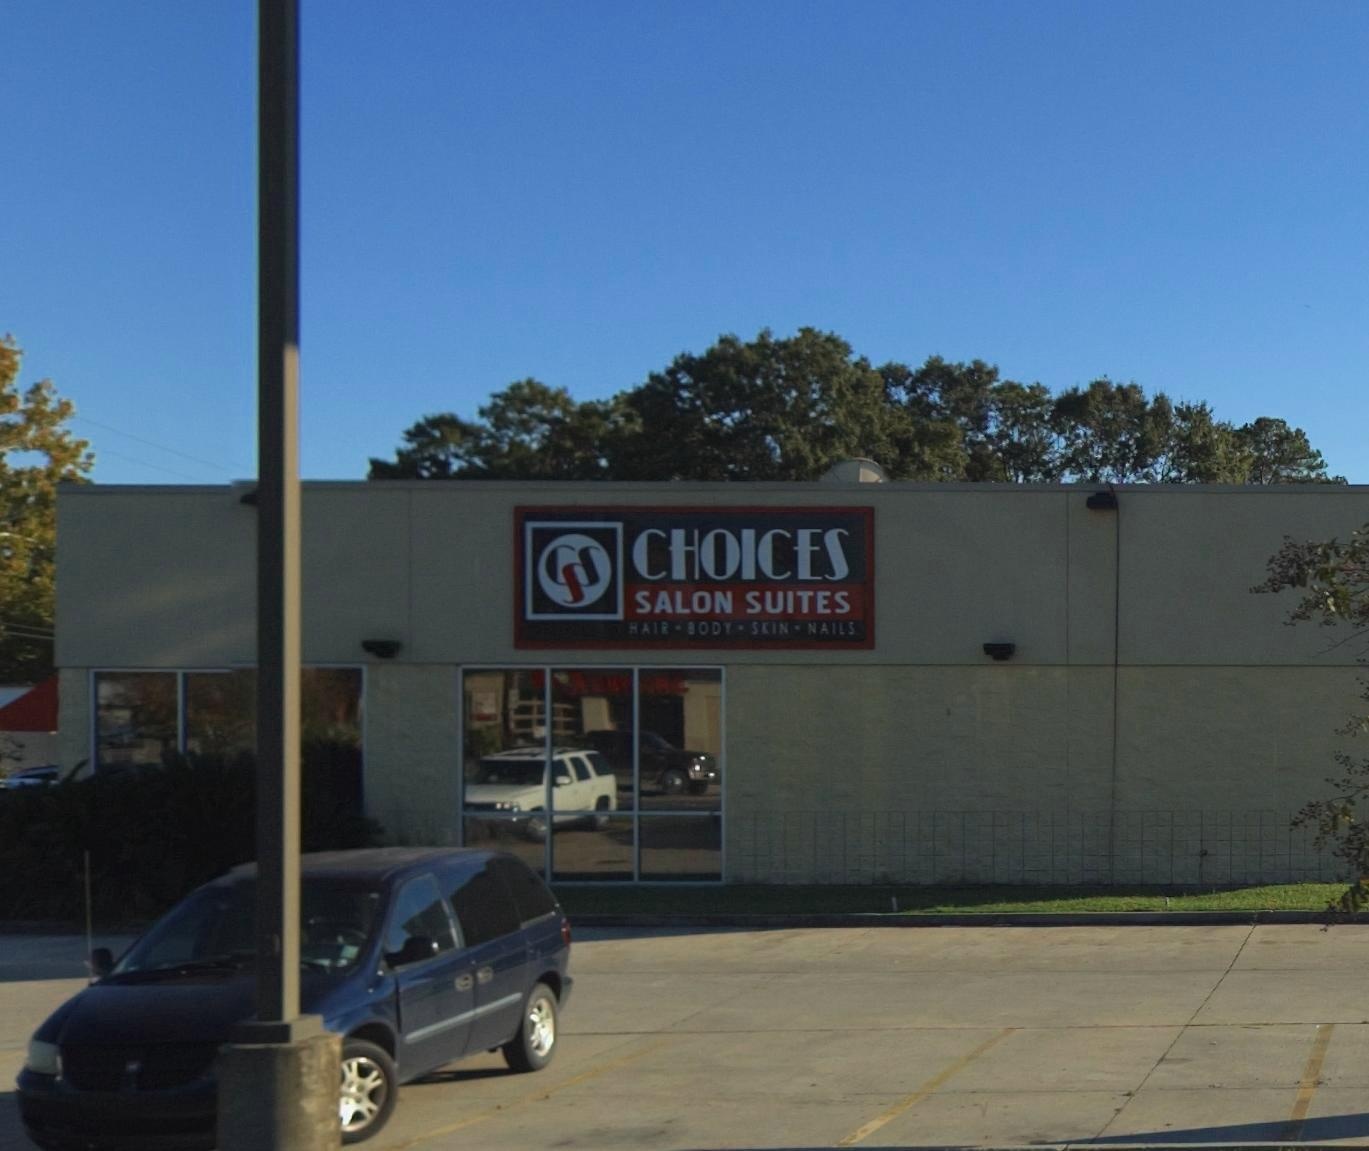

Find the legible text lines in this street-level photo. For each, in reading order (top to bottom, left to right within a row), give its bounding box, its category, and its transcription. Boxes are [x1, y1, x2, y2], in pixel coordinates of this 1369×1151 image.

[544, 544, 603, 605] None: CSS
[630, 527, 850, 581] BusinessName: CHOICES
[627, 621, 856, 637] None: HAIR - BODY - SKIN - NAILS
[634, 590, 851, 615] BusinessName: SALON SUITES